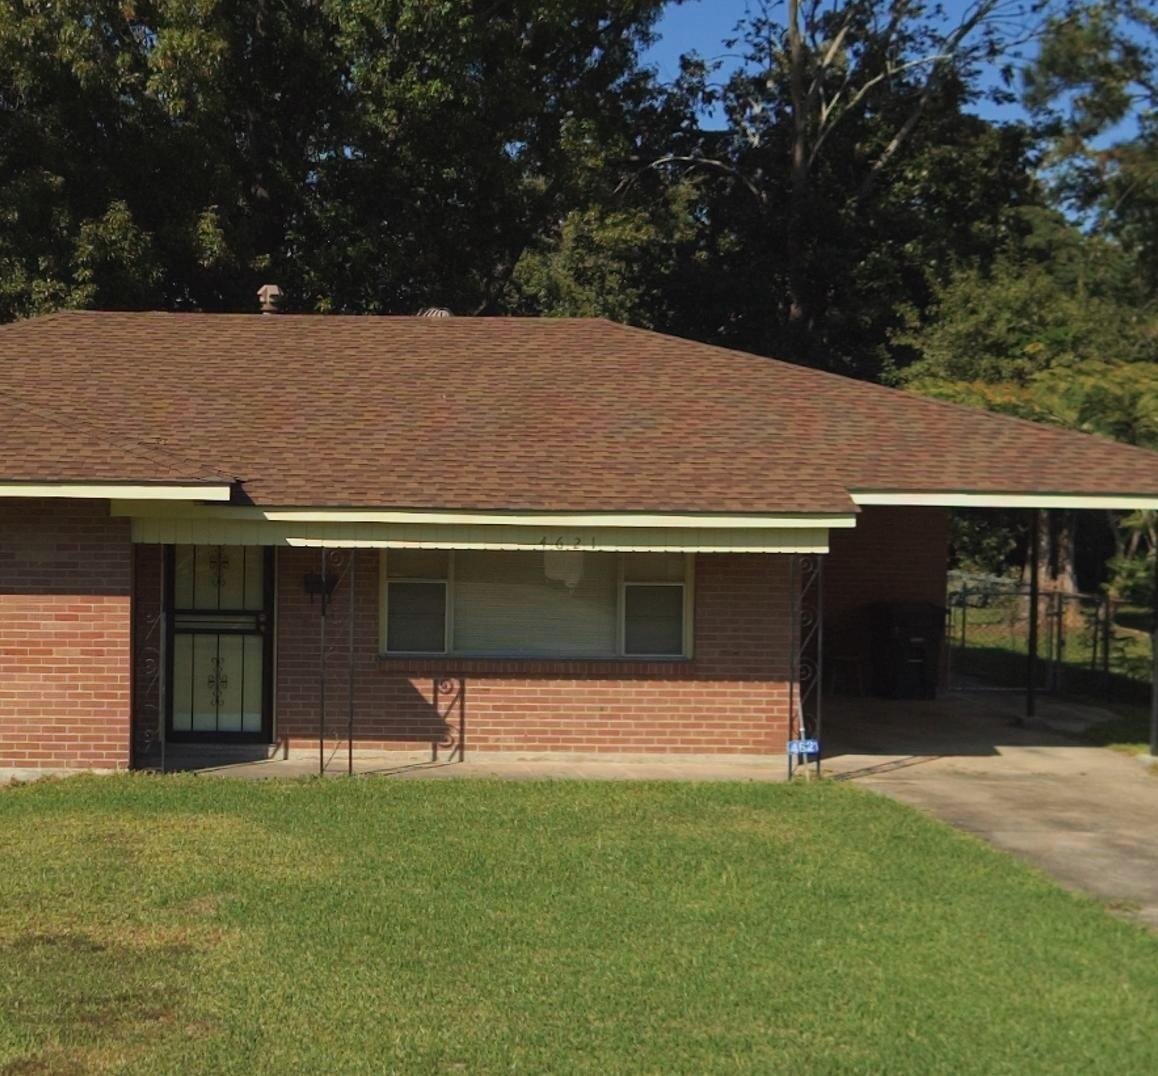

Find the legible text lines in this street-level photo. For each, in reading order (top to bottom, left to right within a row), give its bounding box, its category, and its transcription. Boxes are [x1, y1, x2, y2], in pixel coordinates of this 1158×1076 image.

[538, 535, 597, 550] StreetNumber: 4621
[789, 740, 820, 755] StreetNumber: 4621